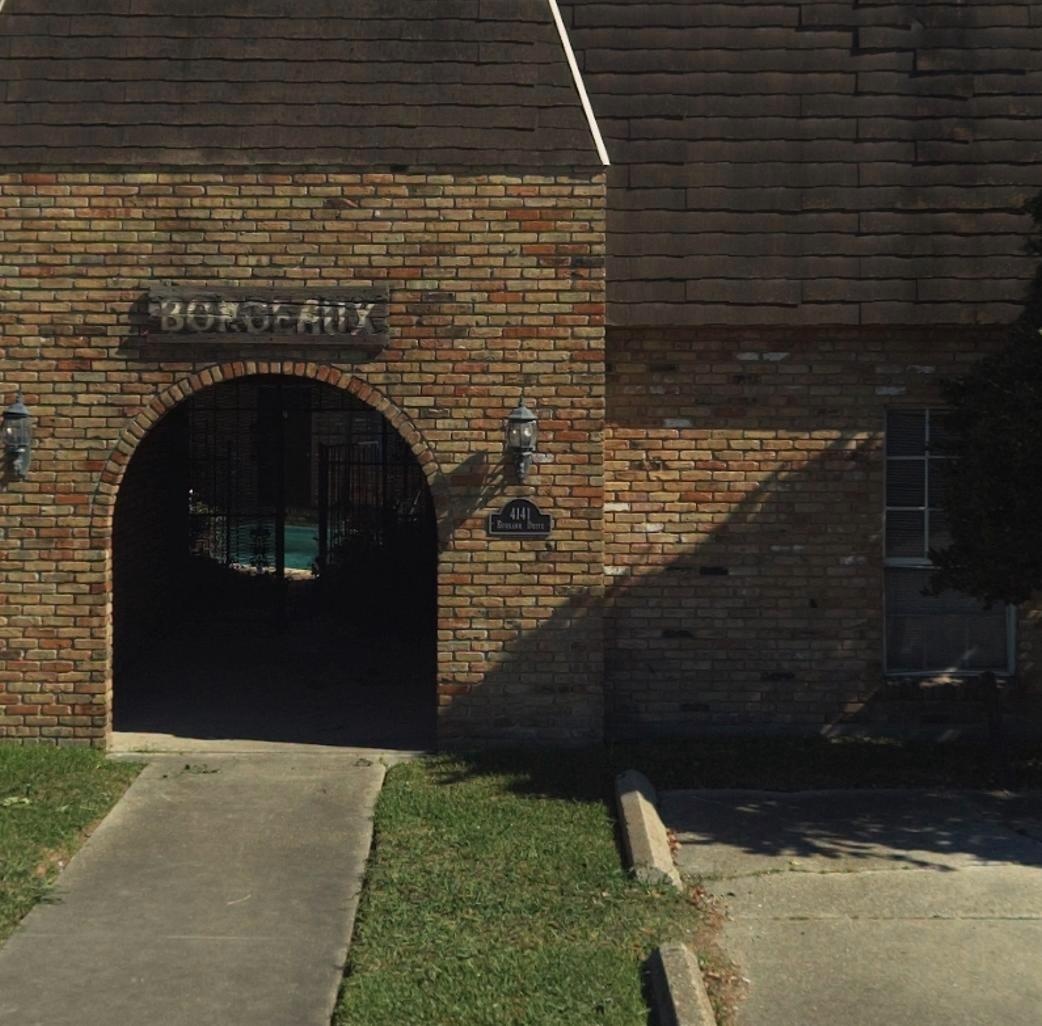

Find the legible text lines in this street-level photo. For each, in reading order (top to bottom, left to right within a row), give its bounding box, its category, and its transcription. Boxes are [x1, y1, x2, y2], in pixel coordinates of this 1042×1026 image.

[158, 295, 379, 338] None: BO*D**UX
[509, 507, 531, 520] StreetNumber: 4141